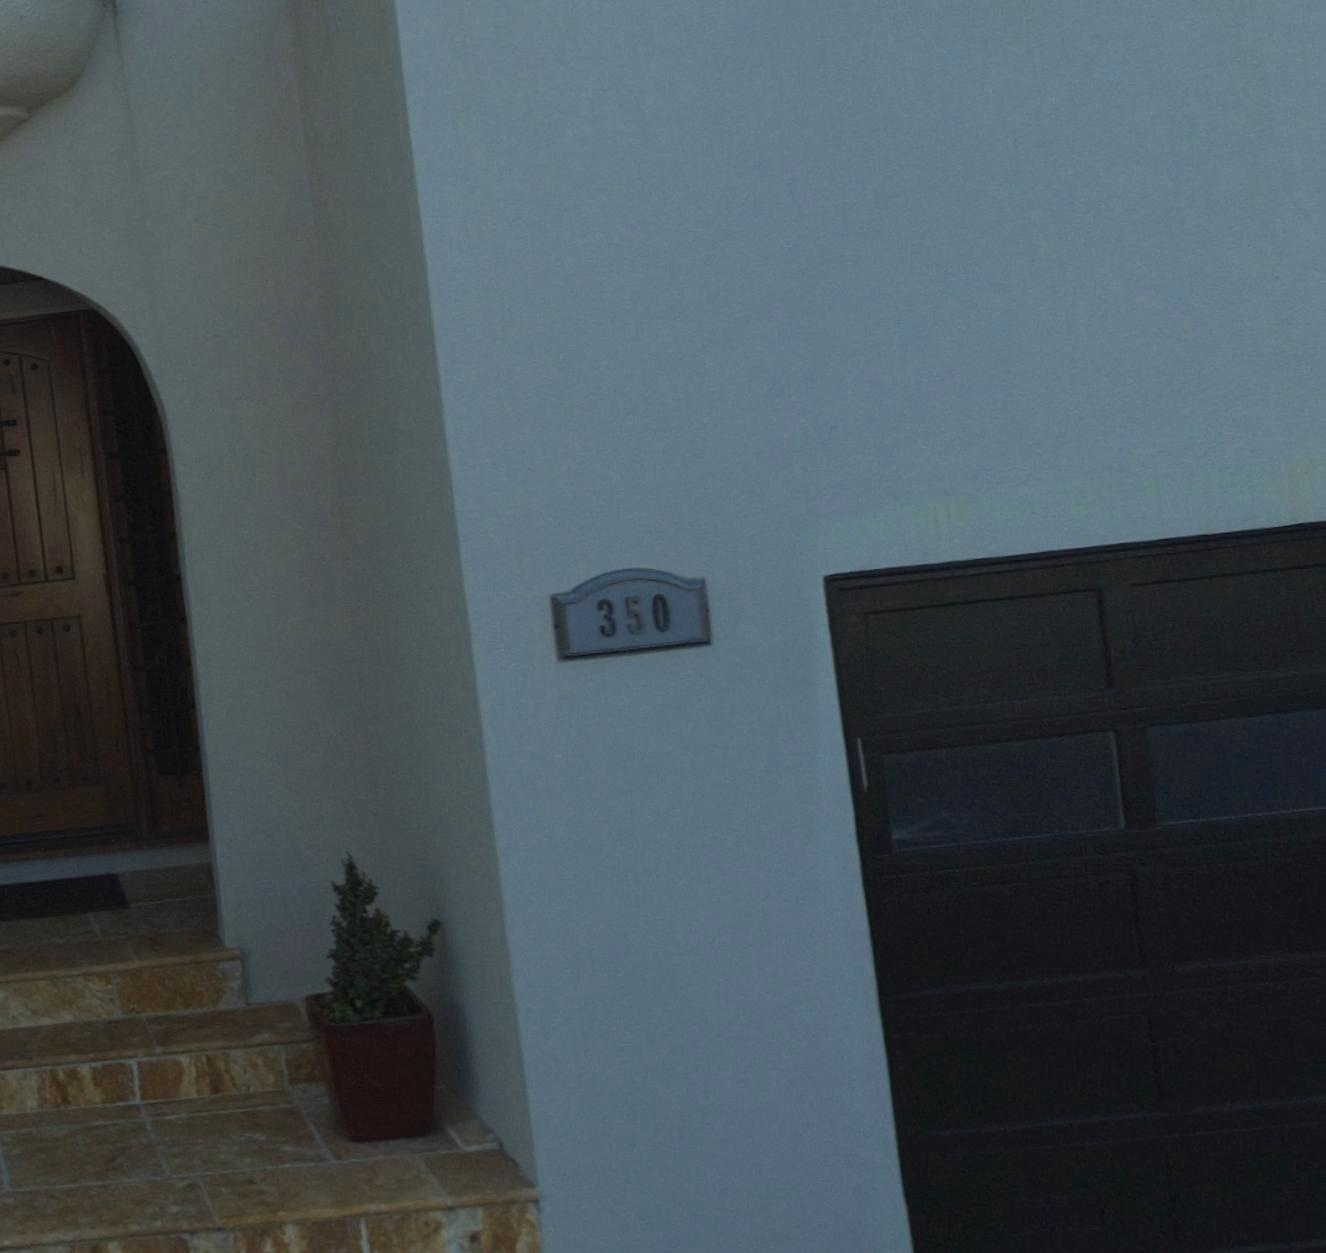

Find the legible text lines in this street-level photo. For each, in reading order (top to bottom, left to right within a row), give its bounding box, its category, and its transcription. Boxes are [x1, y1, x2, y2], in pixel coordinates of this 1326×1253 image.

[595, 592, 674, 639] StreetNumber: 350